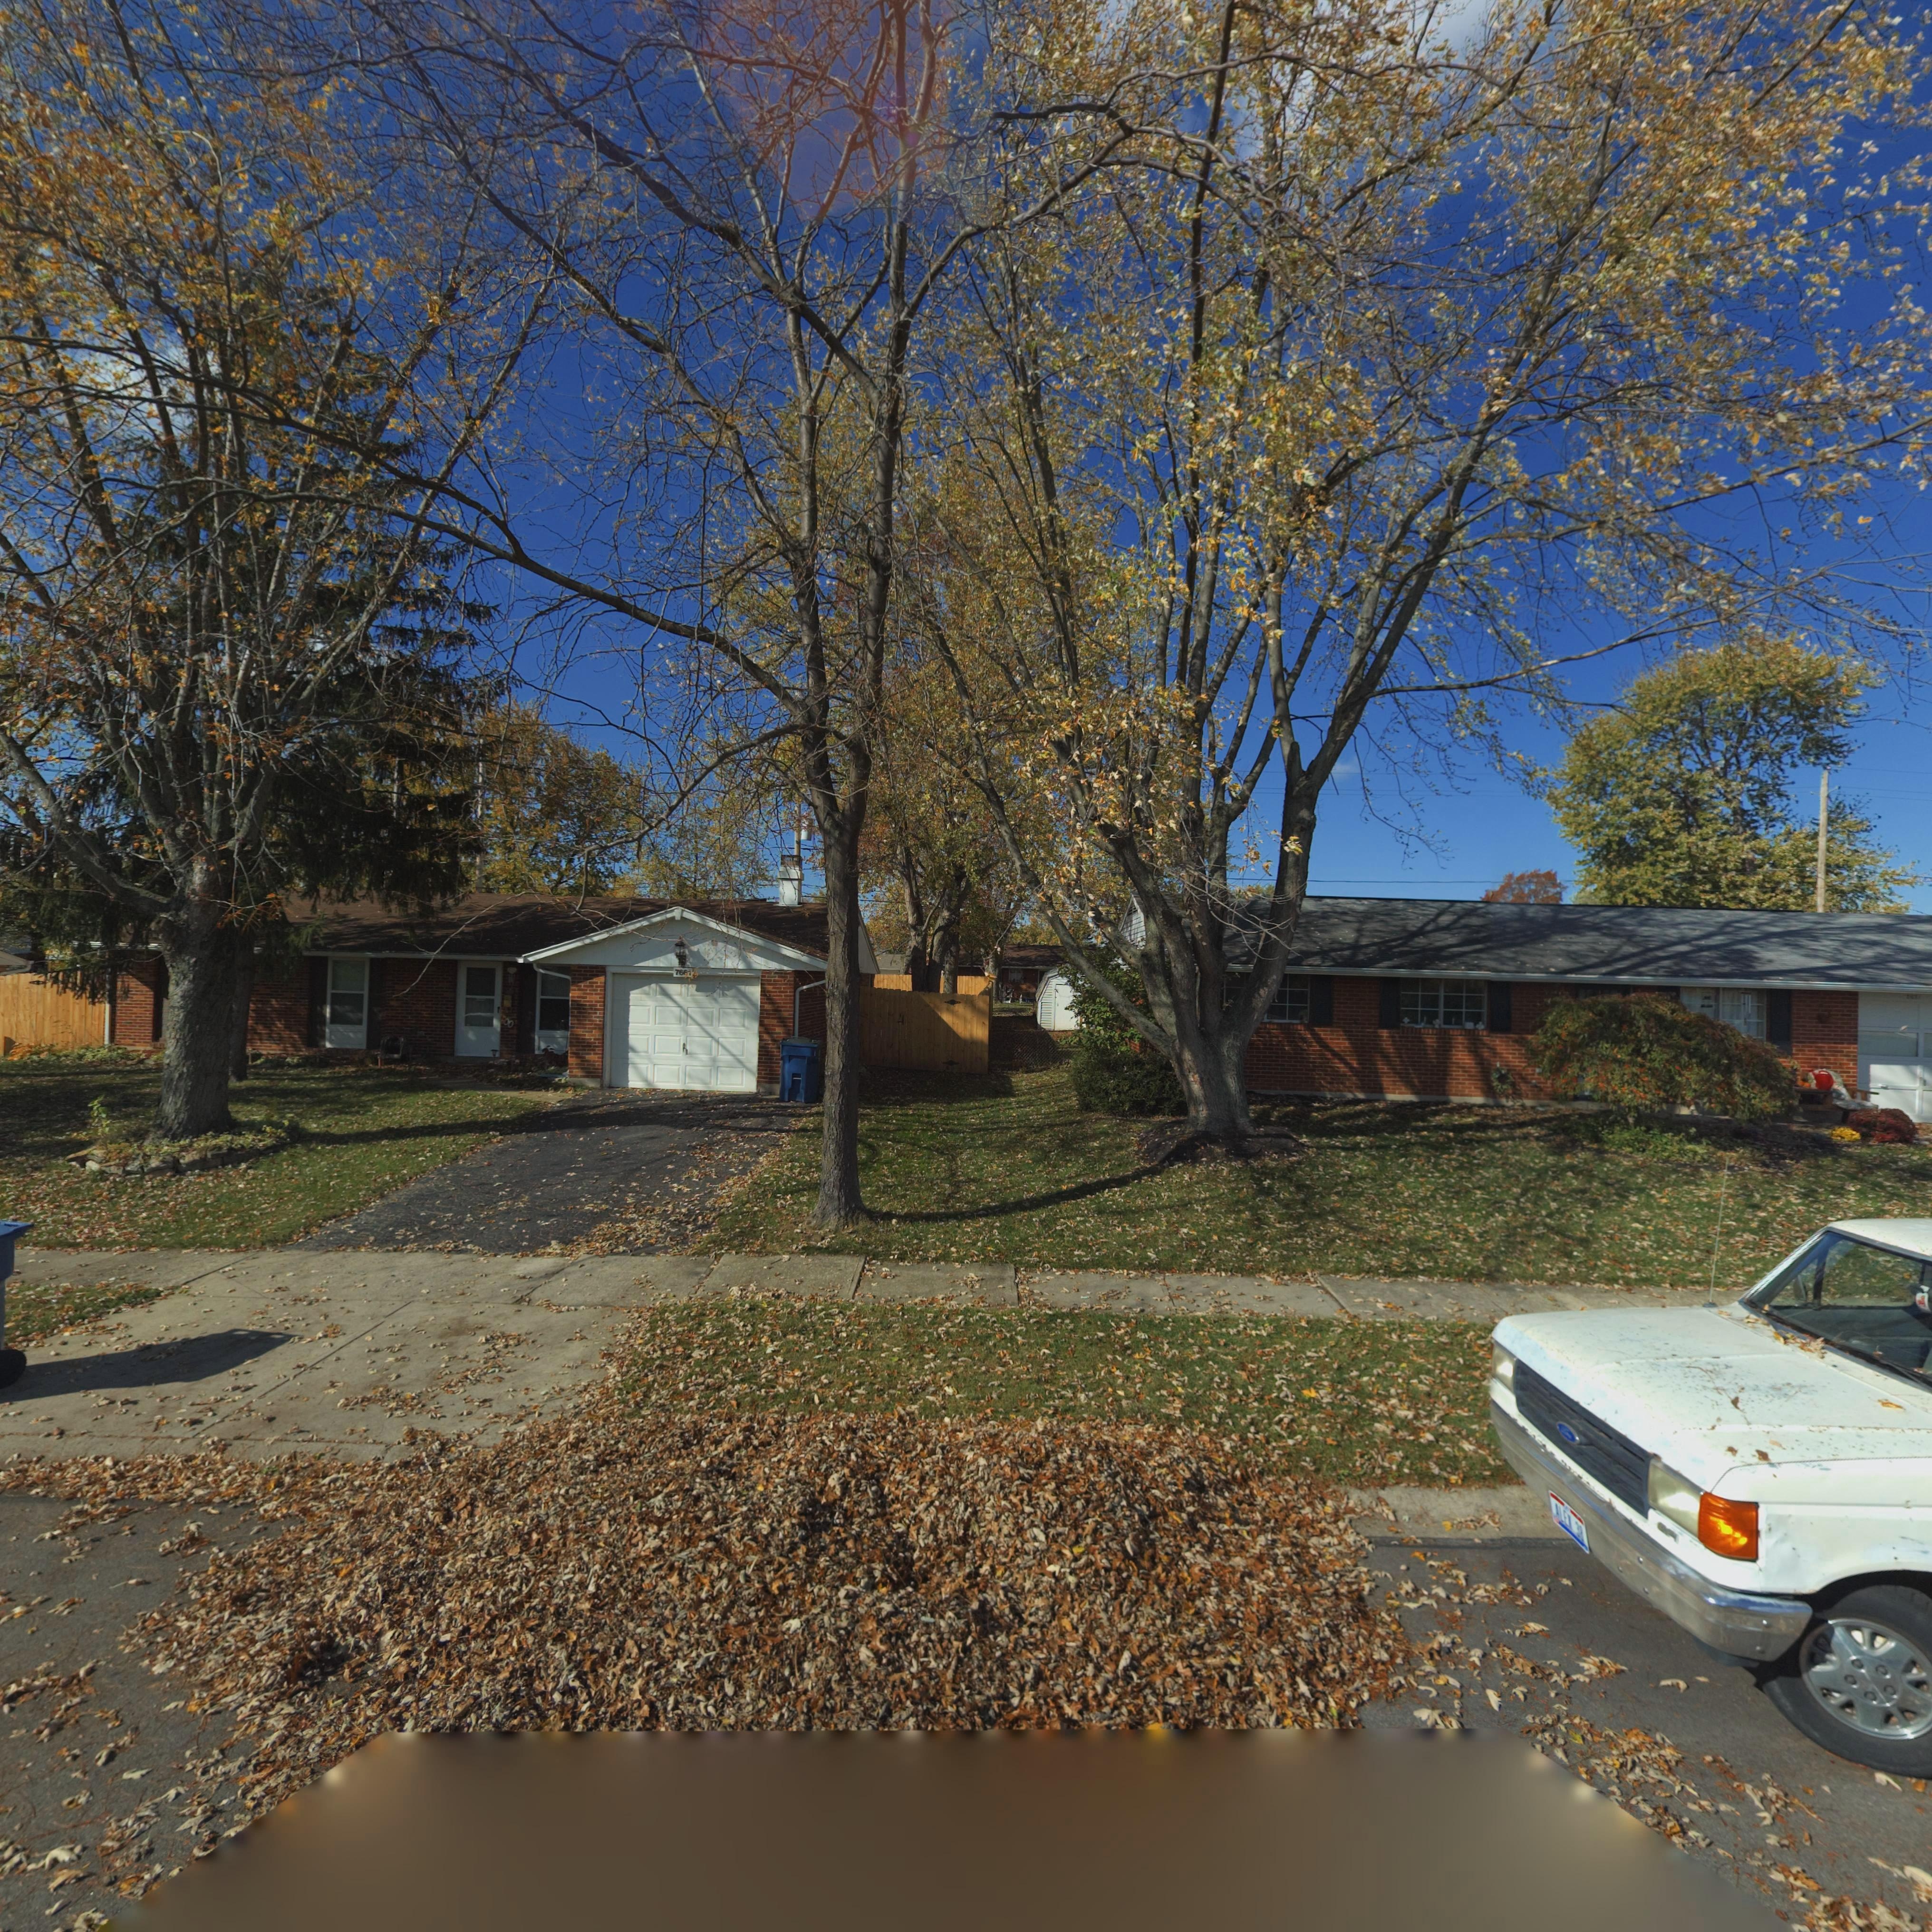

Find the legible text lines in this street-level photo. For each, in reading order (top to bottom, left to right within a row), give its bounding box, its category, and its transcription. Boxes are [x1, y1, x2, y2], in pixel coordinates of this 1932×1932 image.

[673, 969, 692, 976] StreetNumber: 76**